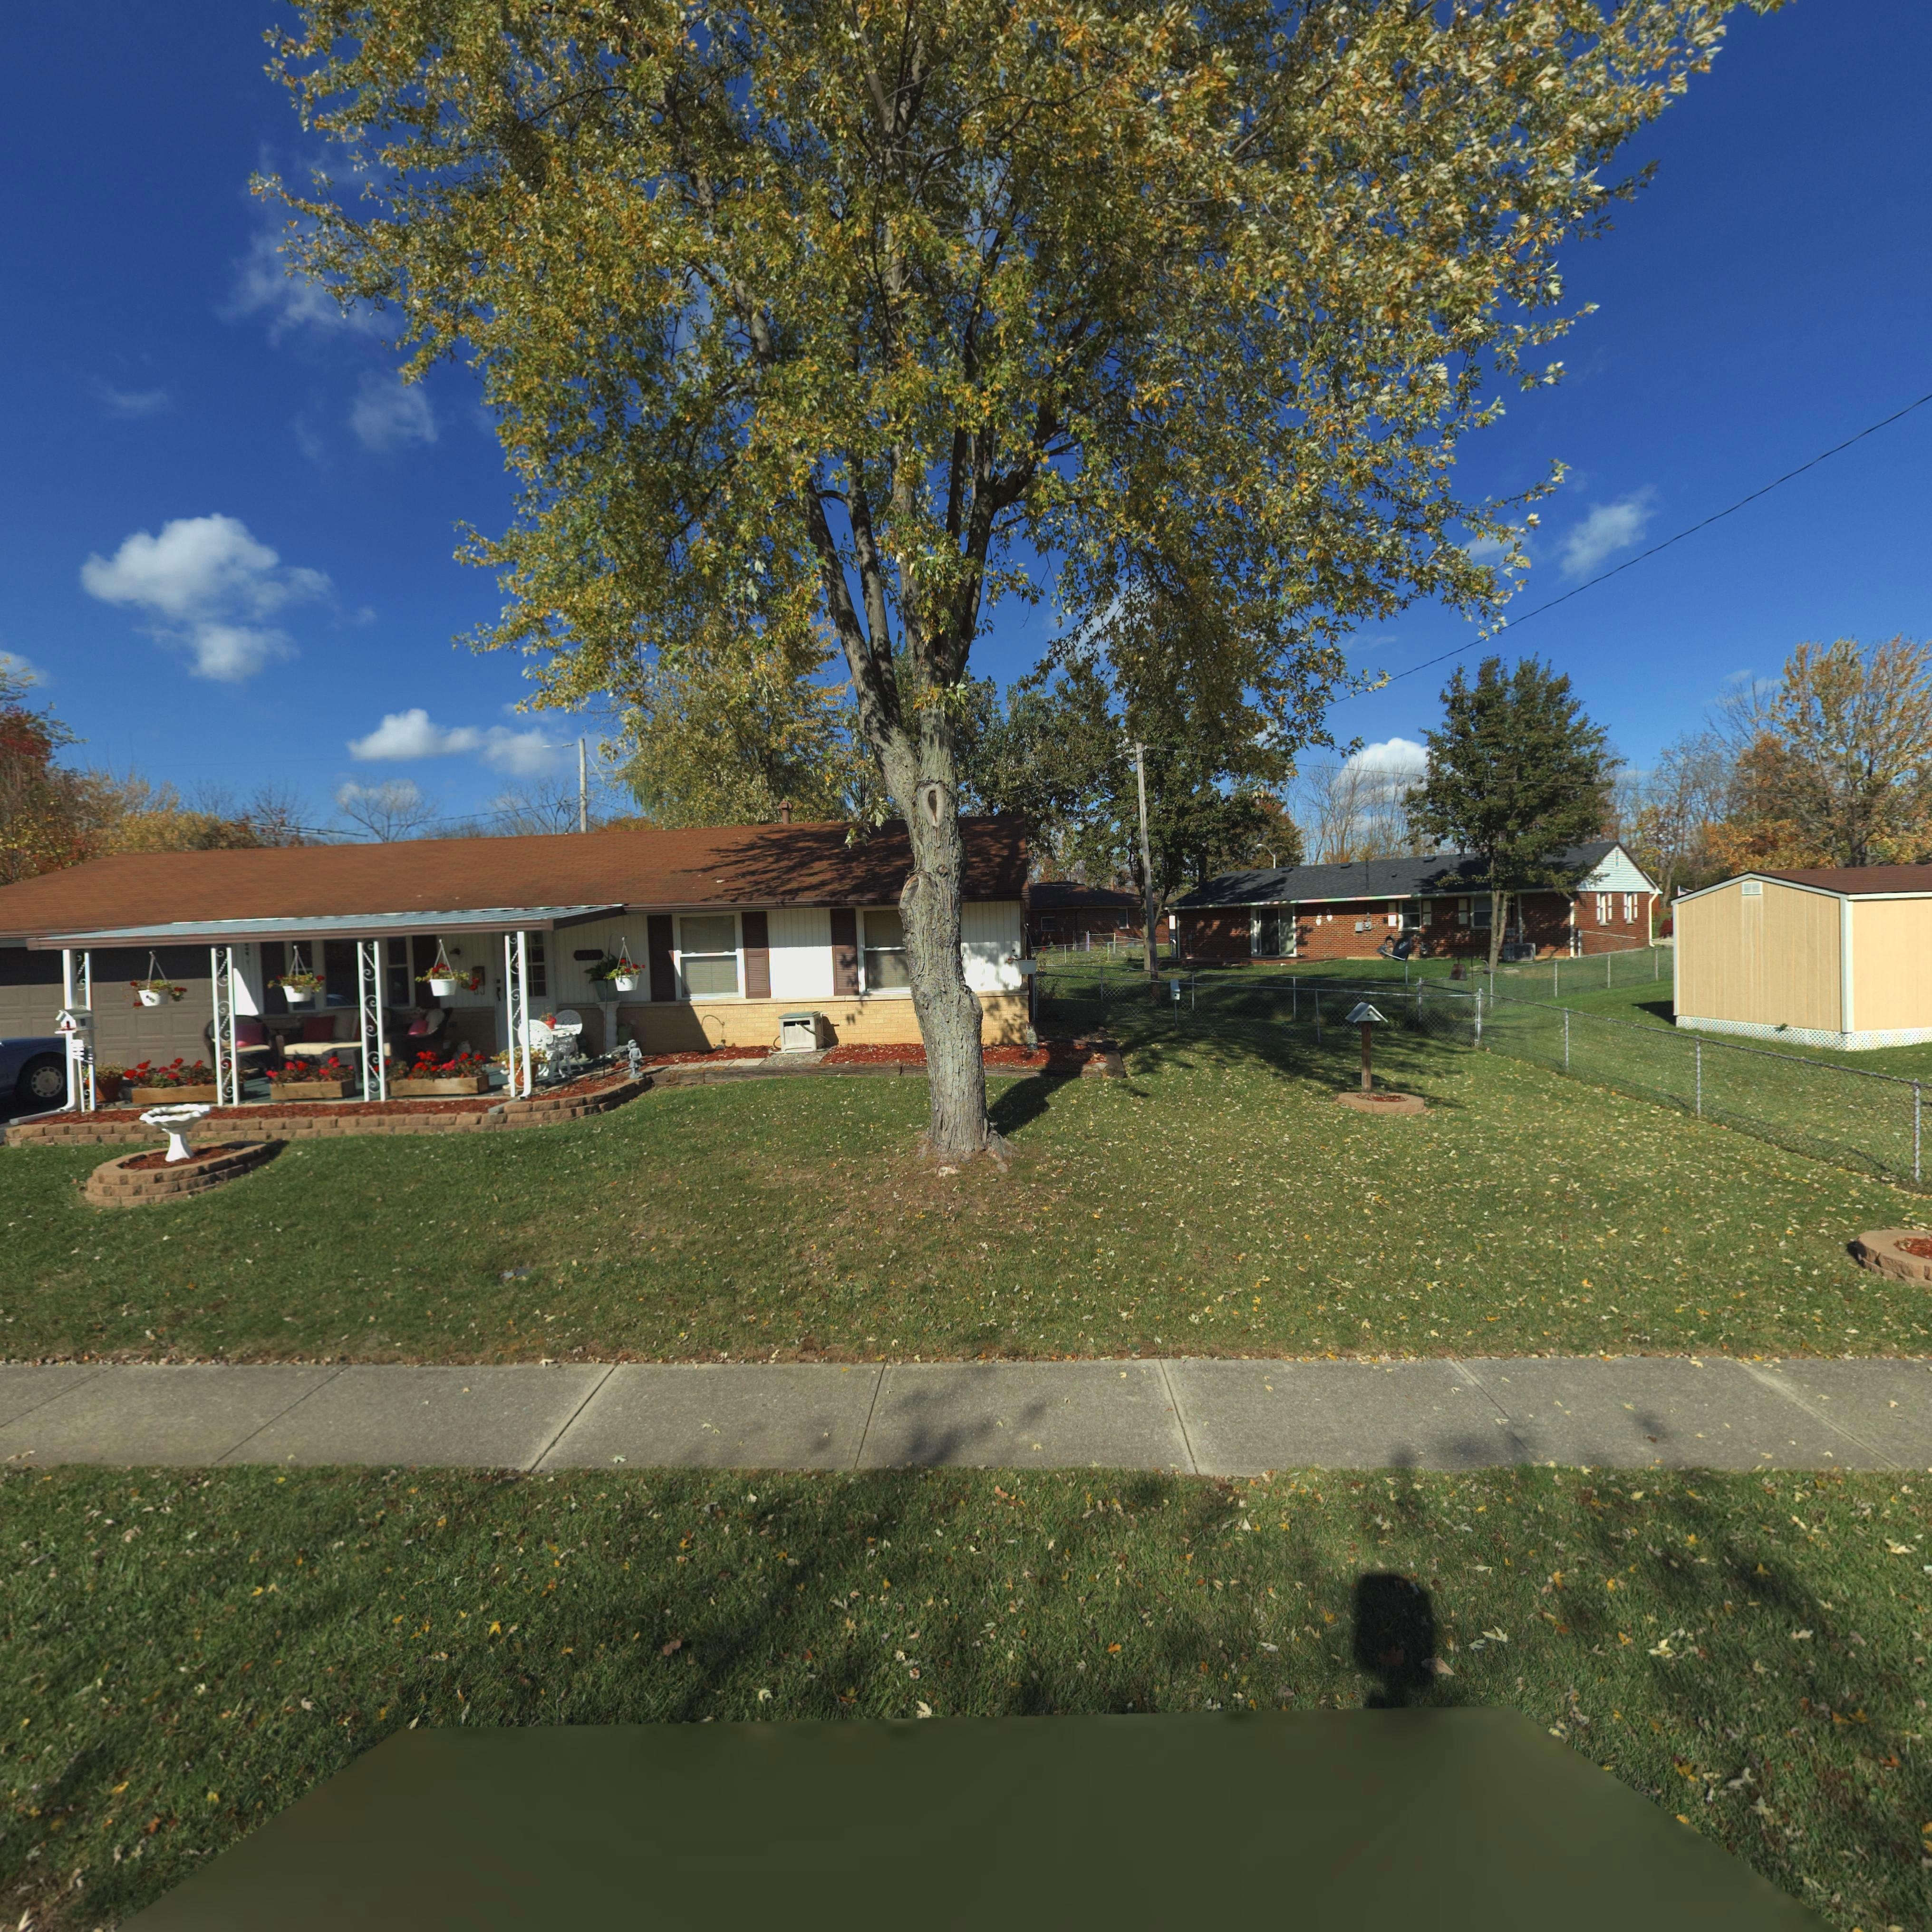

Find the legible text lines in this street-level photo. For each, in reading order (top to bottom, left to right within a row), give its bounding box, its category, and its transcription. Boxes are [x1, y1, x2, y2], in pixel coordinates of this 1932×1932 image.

[575, 949, 599, 960] StreetNumber: **6*